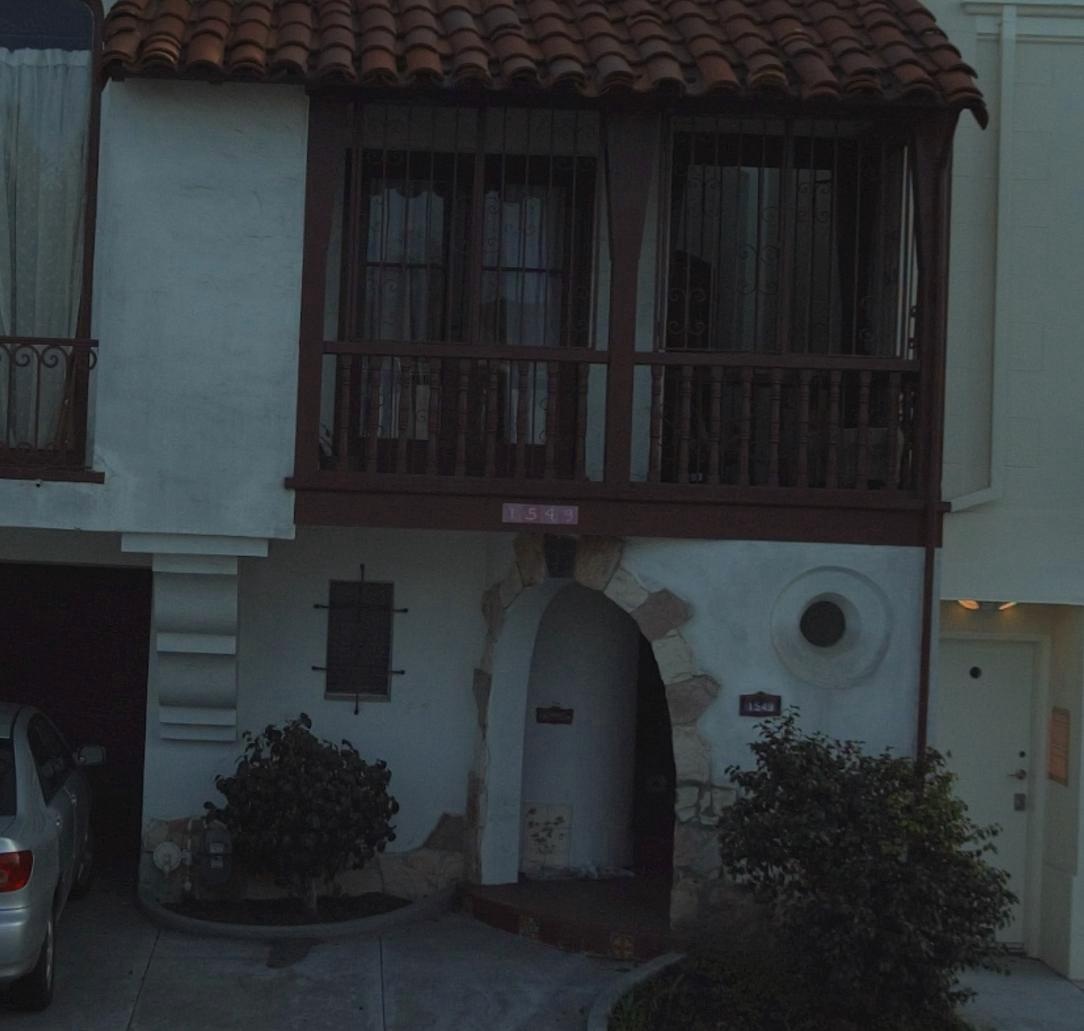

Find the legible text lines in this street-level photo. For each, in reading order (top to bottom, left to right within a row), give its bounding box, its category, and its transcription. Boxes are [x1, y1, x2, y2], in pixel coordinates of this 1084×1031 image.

[506, 504, 575, 525] StreetNumber: 1549
[745, 700, 778, 715] StreetNumber: 1549